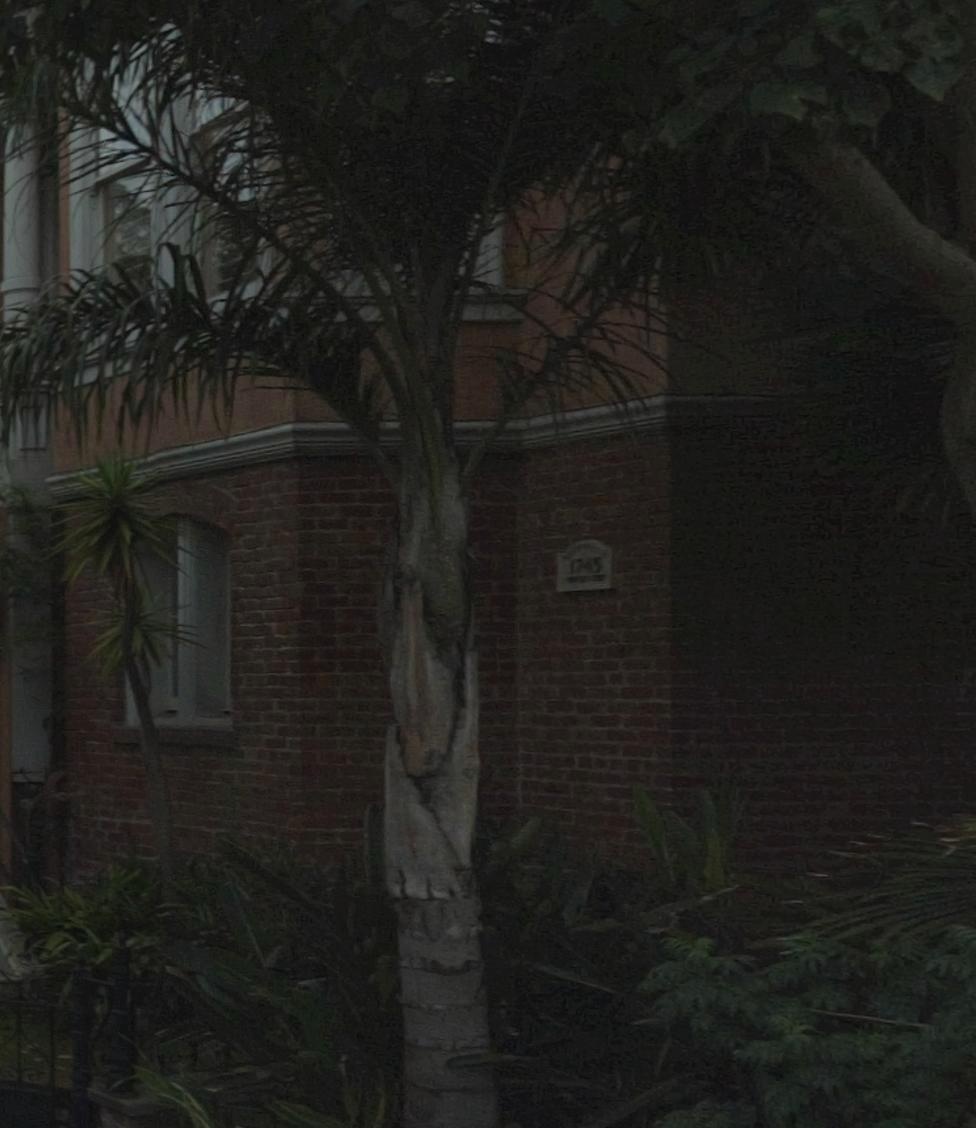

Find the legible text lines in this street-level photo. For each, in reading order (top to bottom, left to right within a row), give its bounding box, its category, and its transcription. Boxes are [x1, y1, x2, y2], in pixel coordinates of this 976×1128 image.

[568, 556, 603, 573] StreetNumber: 1745